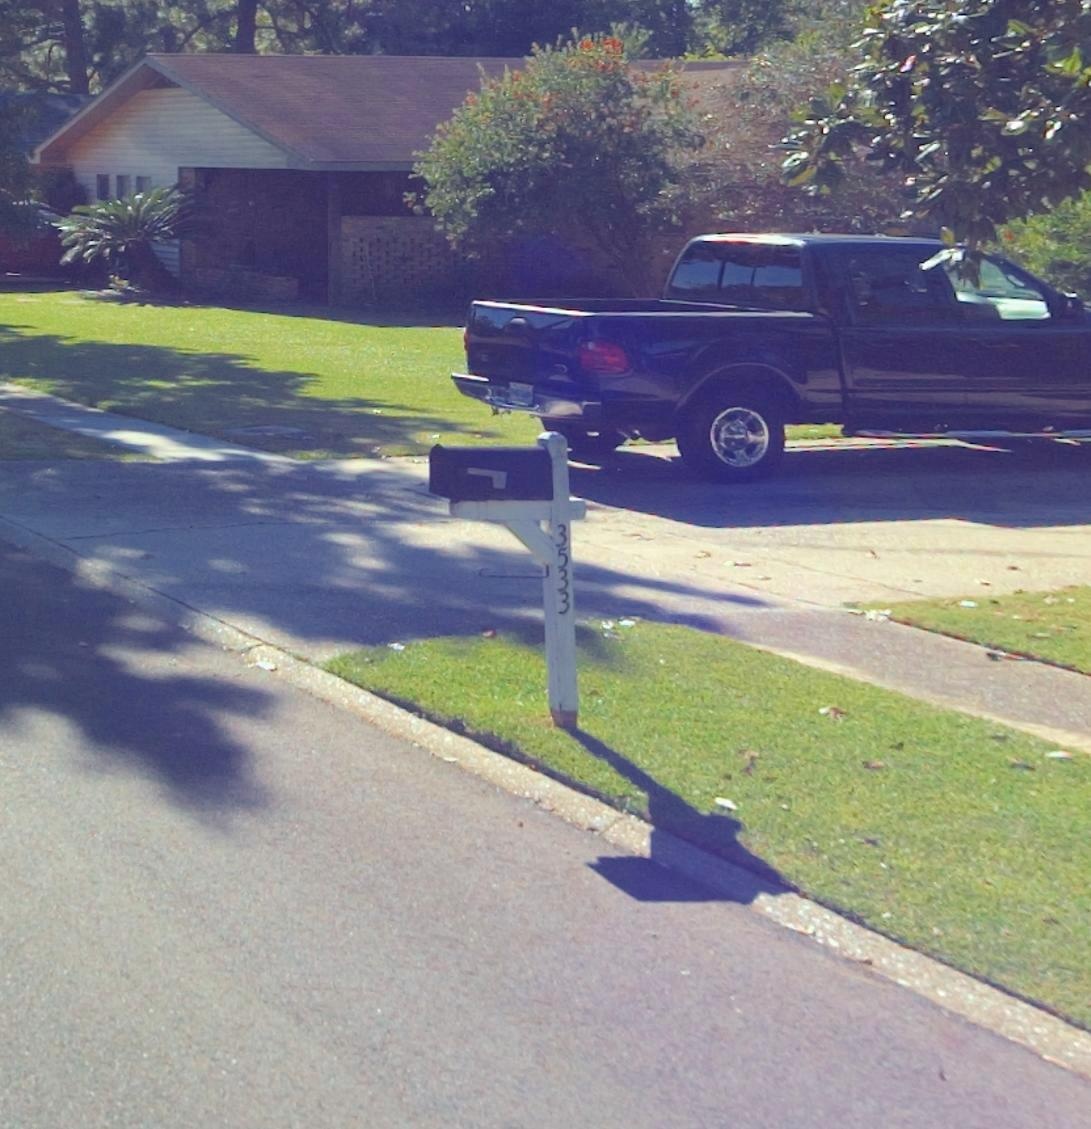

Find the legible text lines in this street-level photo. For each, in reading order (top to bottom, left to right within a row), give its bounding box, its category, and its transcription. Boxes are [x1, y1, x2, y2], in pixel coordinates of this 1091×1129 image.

[556, 523, 570, 615] StreetNumber: 3533